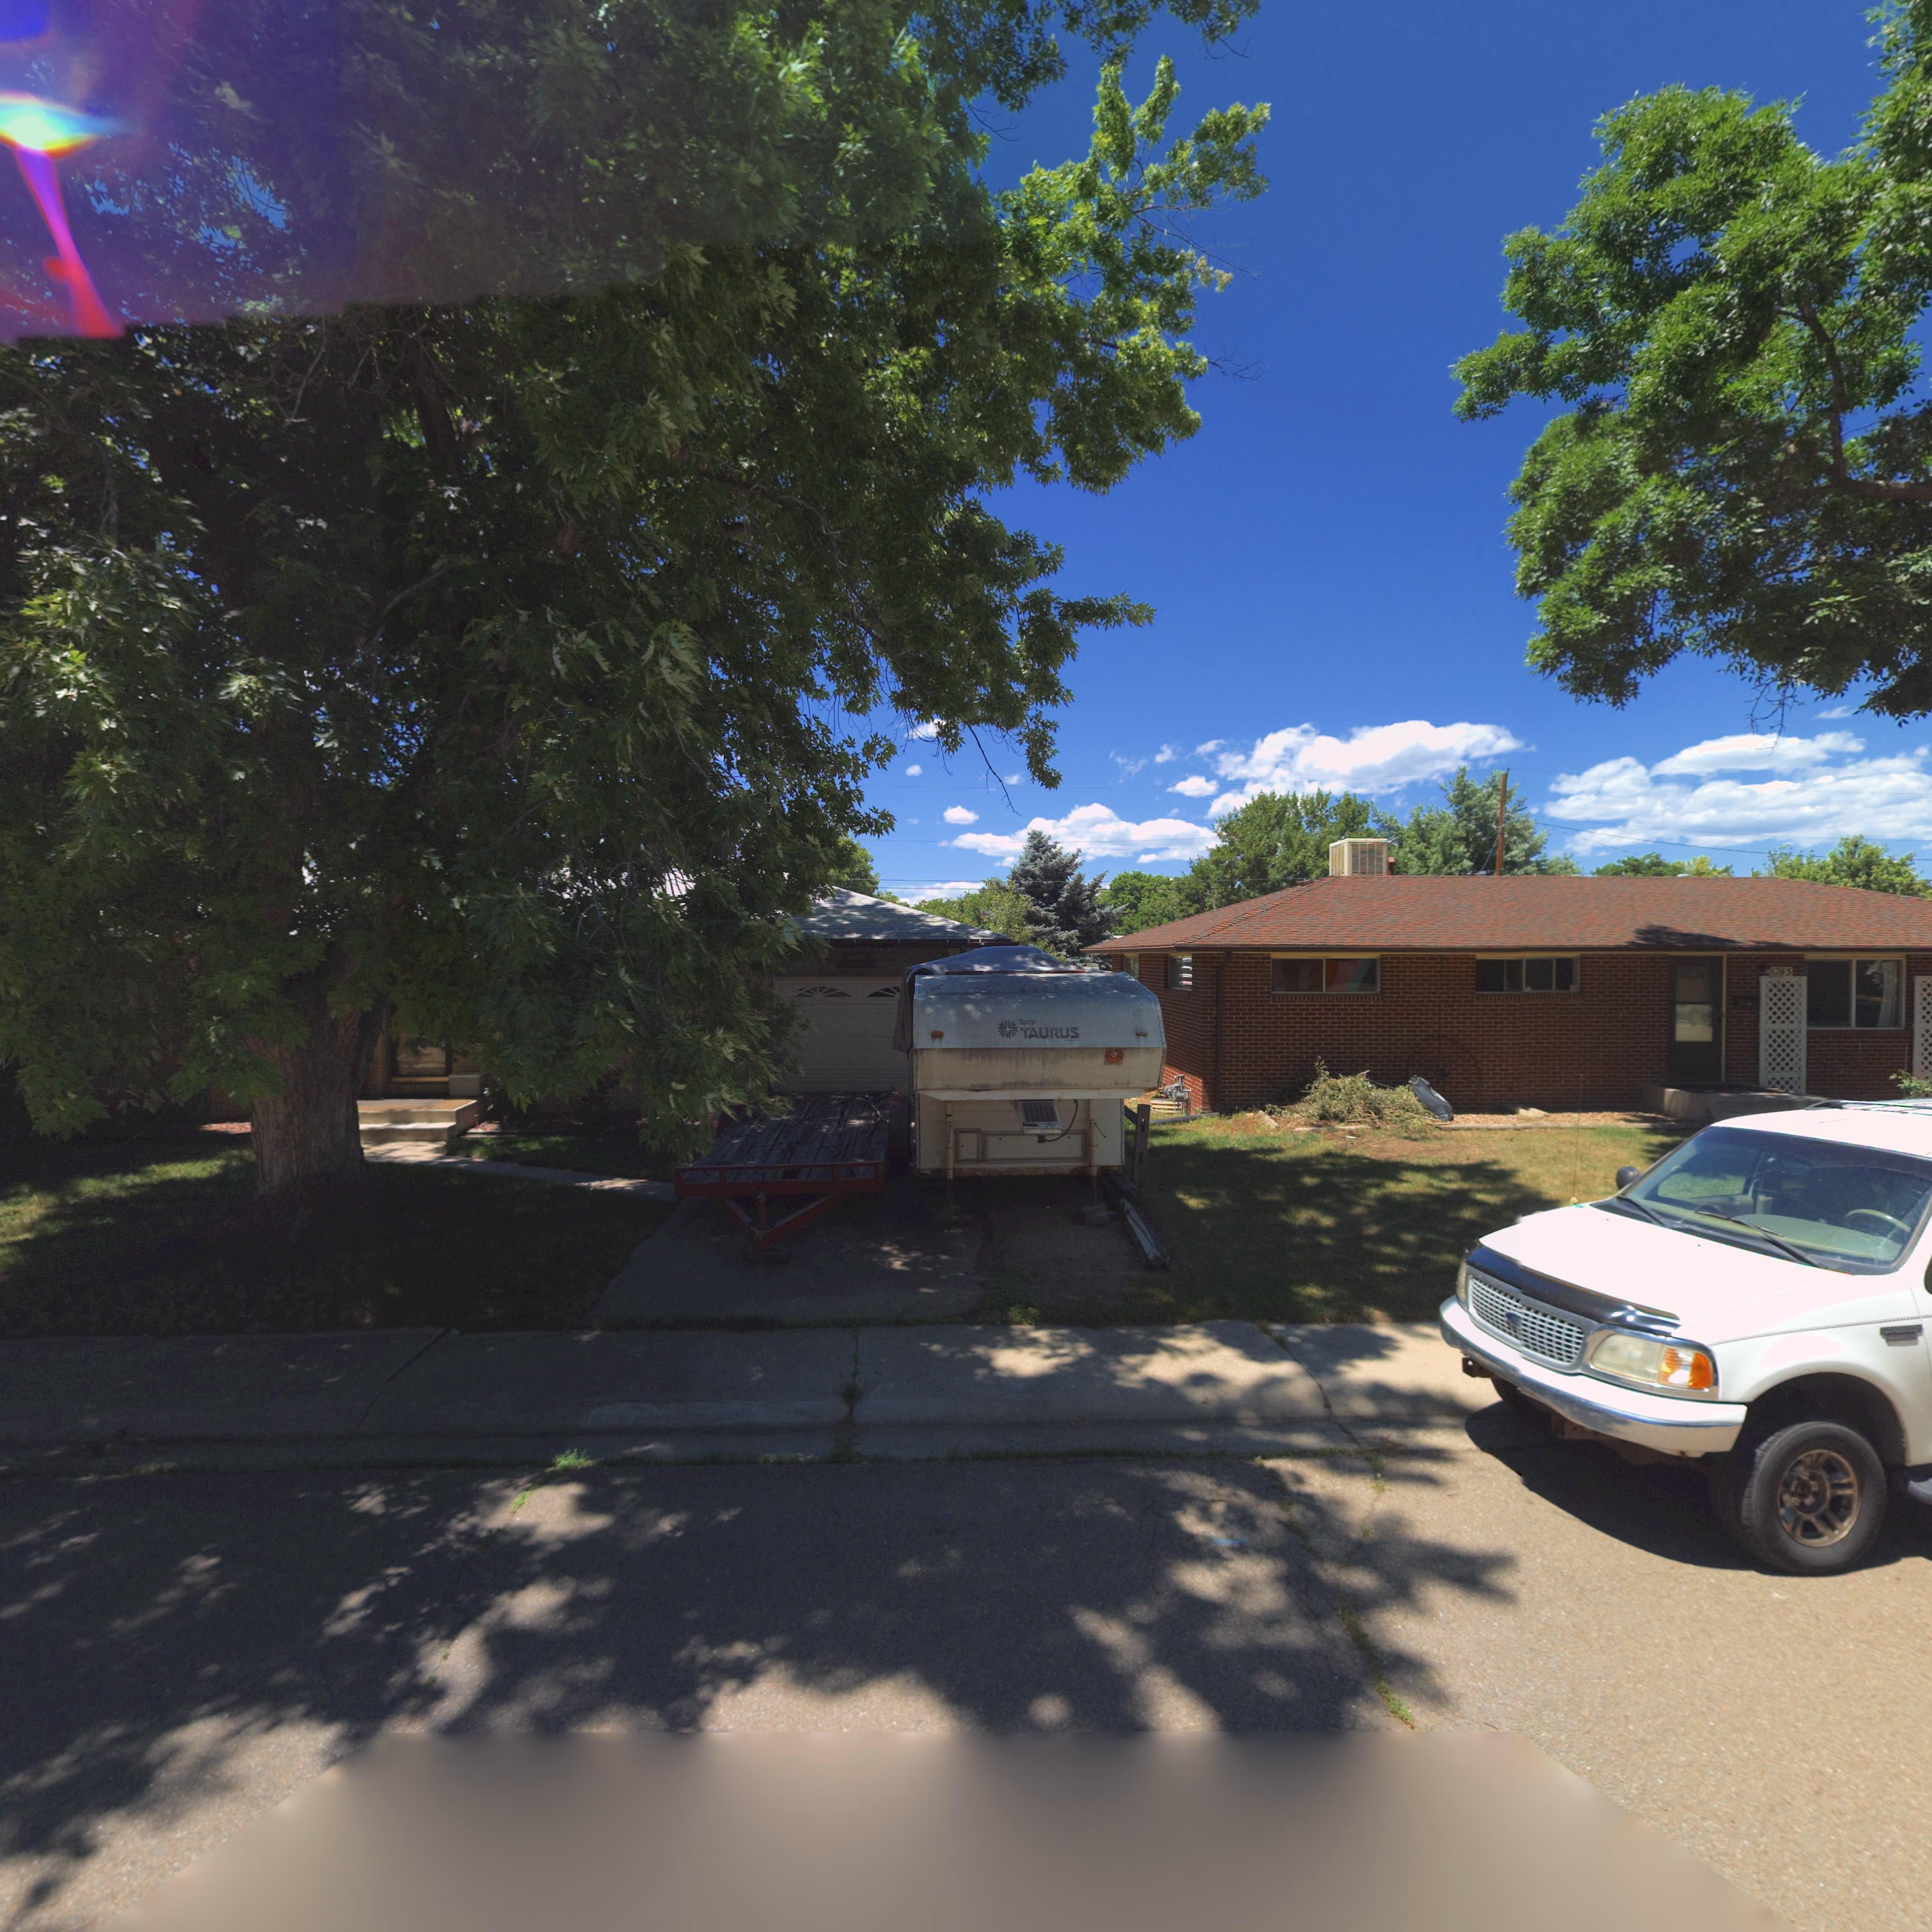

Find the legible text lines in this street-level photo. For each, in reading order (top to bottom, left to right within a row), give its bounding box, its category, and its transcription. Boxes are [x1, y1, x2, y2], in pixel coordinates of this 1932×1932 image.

[1771, 967, 1792, 976] StreetNumber: **45